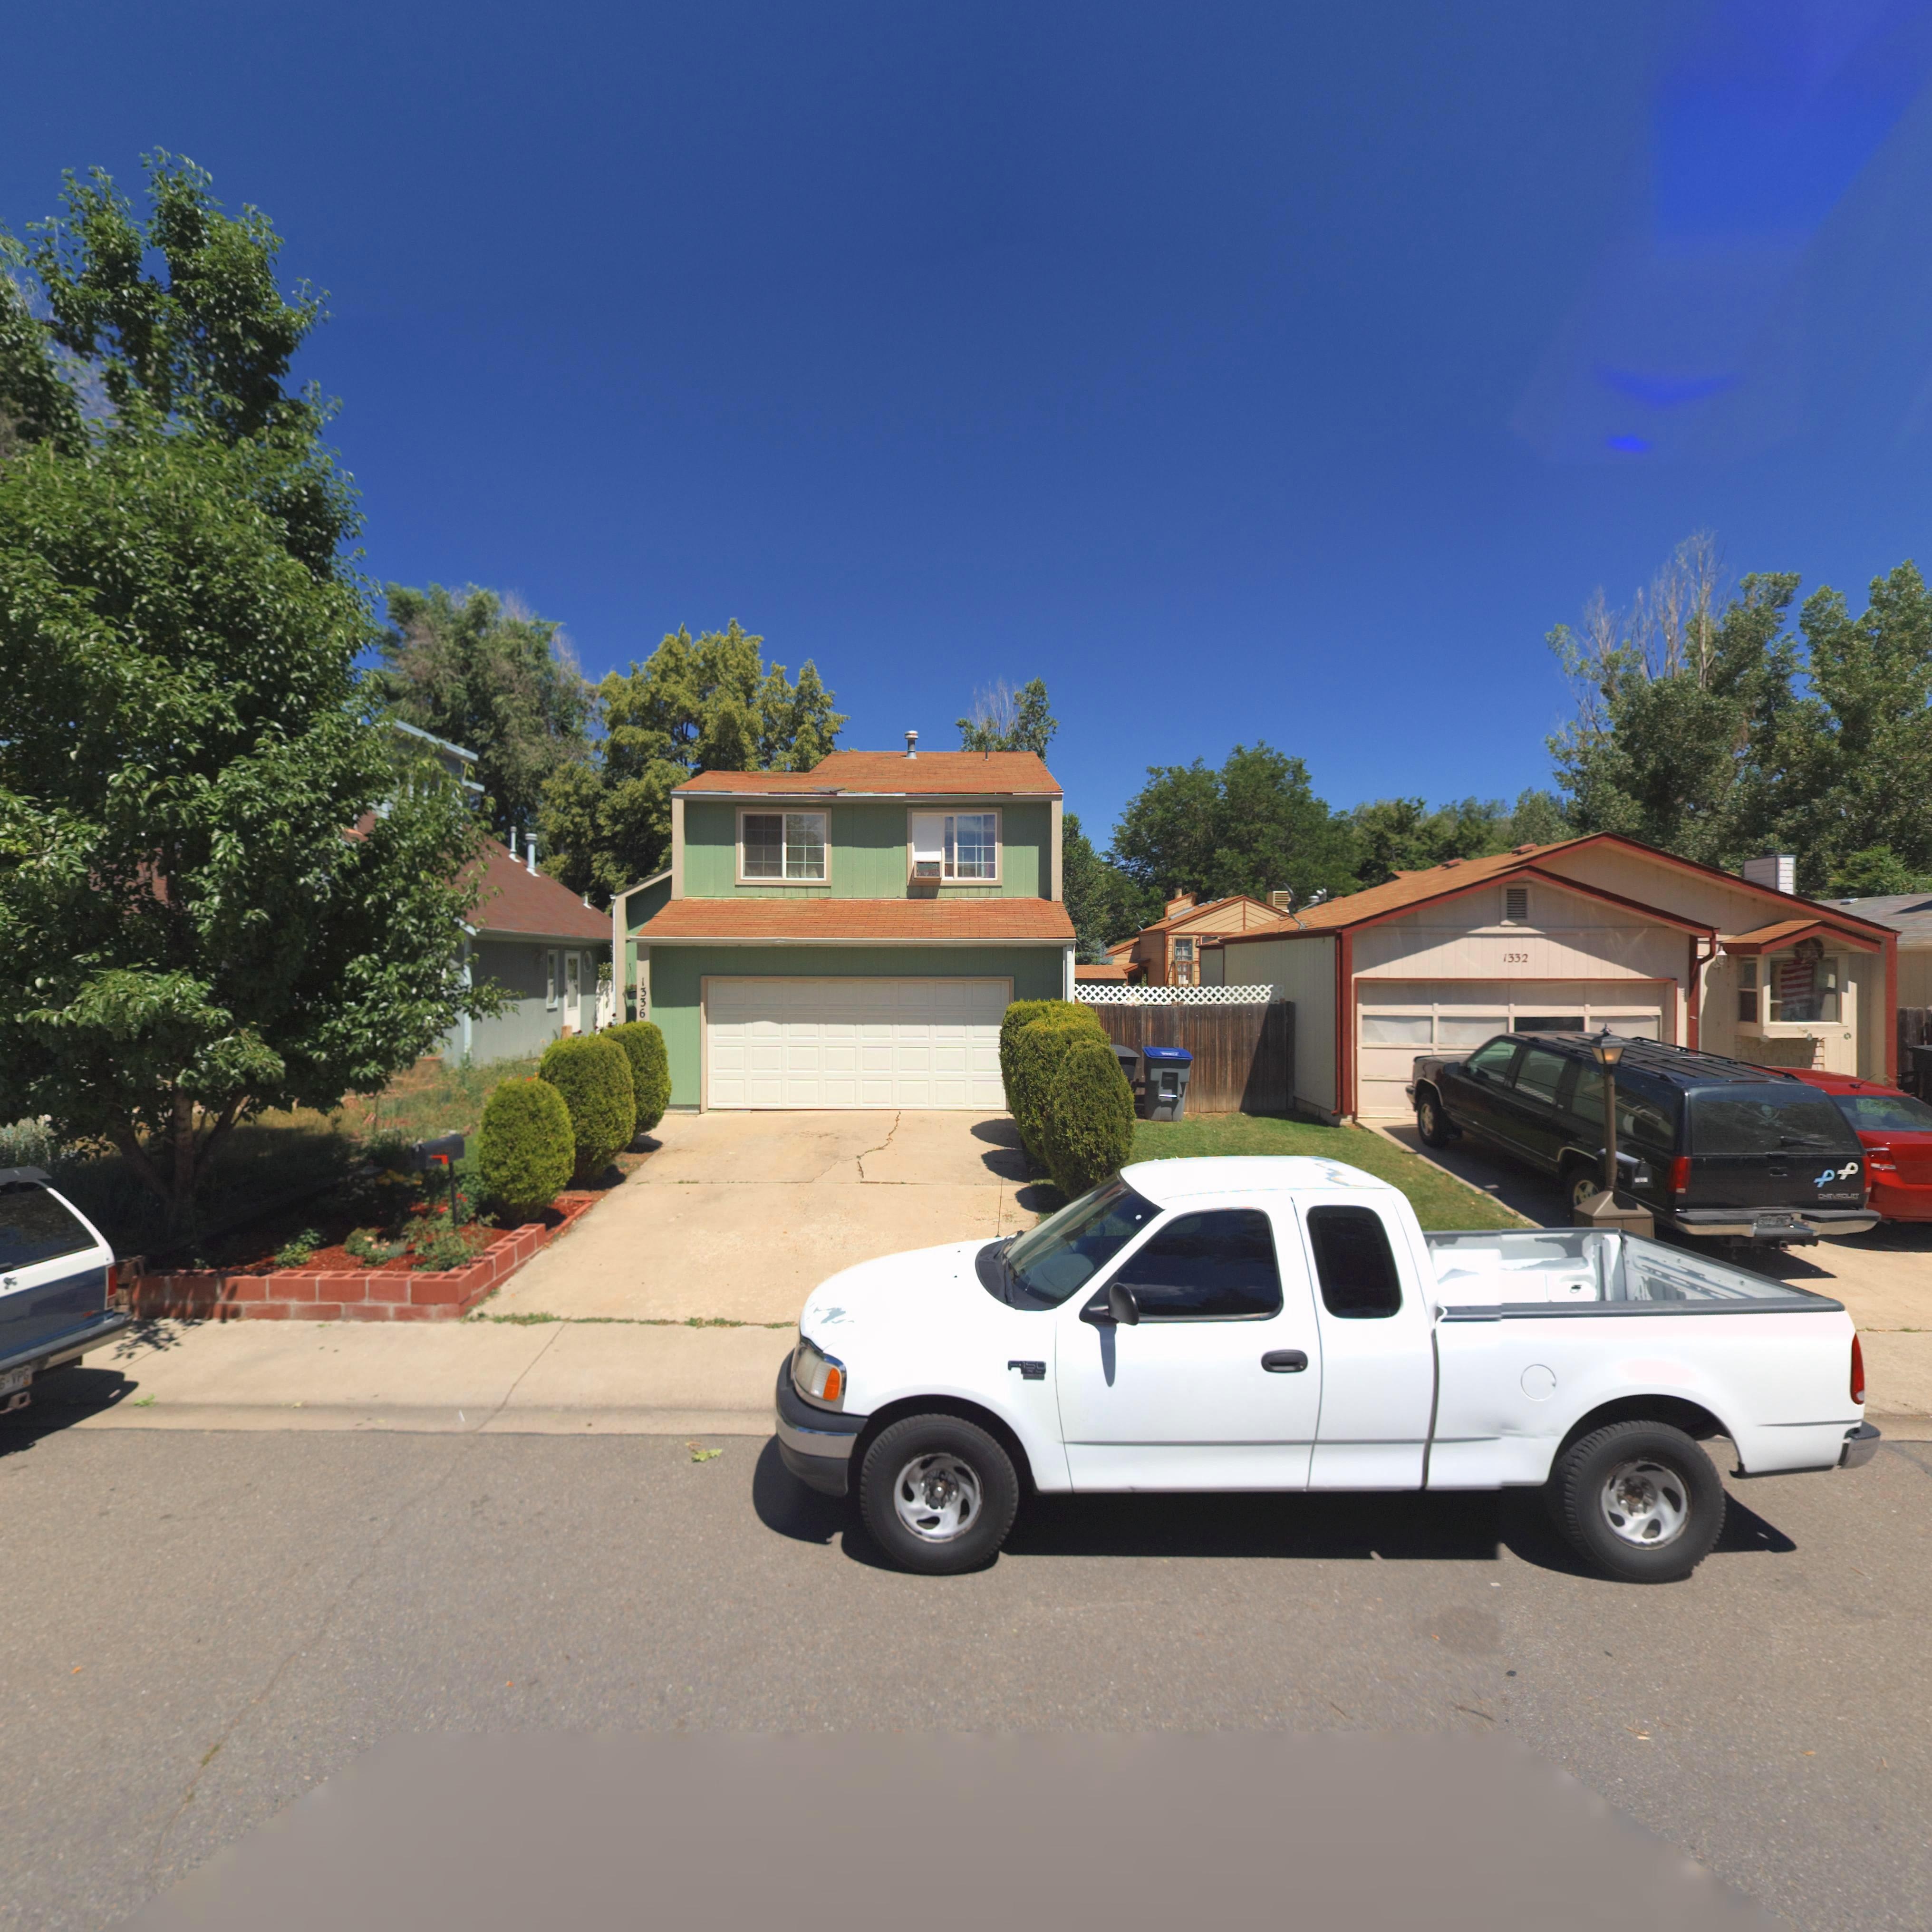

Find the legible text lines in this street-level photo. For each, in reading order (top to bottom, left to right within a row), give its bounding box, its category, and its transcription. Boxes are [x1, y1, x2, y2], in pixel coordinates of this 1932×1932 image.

[1503, 953, 1528, 963] StreetNumber: 1332
[638, 977, 647, 1018] StreetNumber: 1336